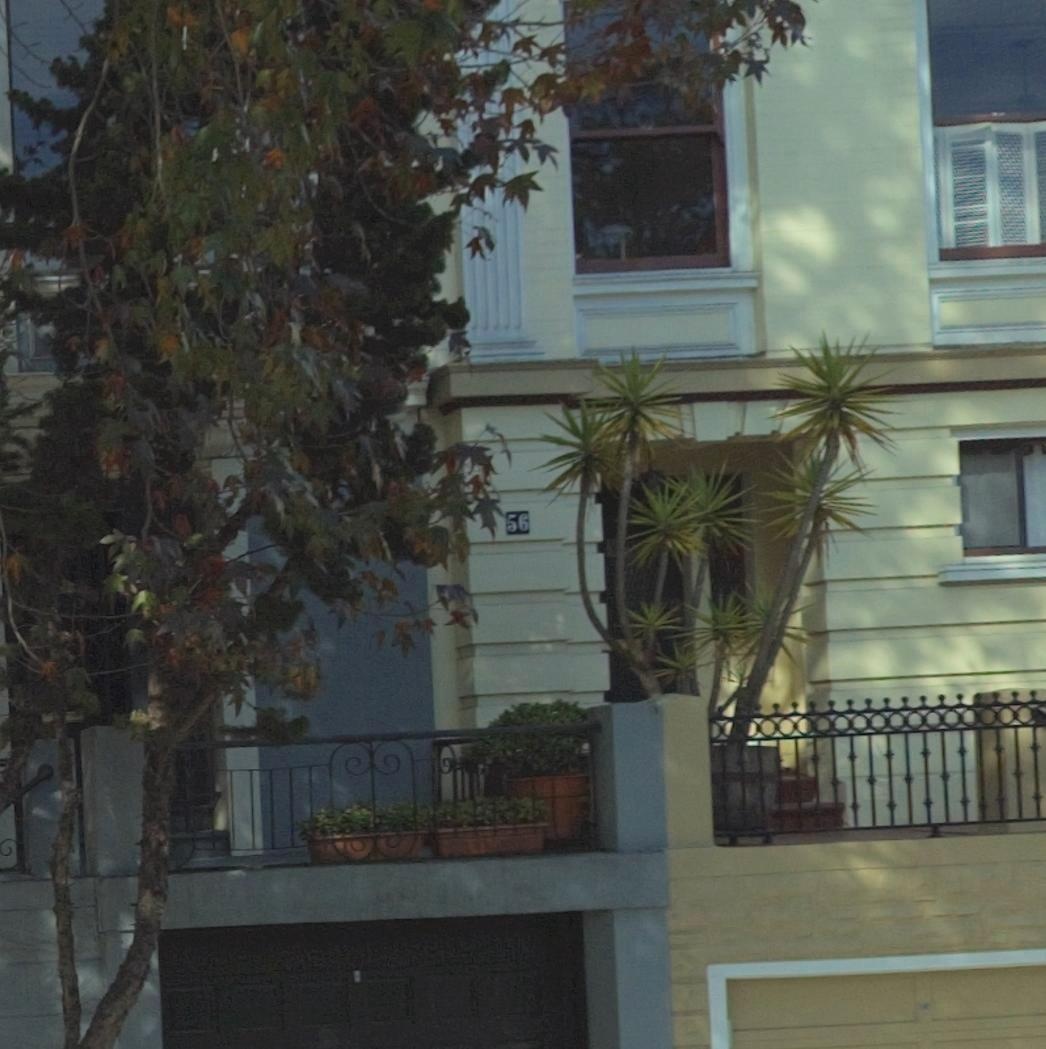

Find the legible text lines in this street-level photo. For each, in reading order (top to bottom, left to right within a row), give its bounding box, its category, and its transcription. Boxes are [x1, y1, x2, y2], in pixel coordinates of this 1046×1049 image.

[507, 513, 530, 534] StreetNumber: 56